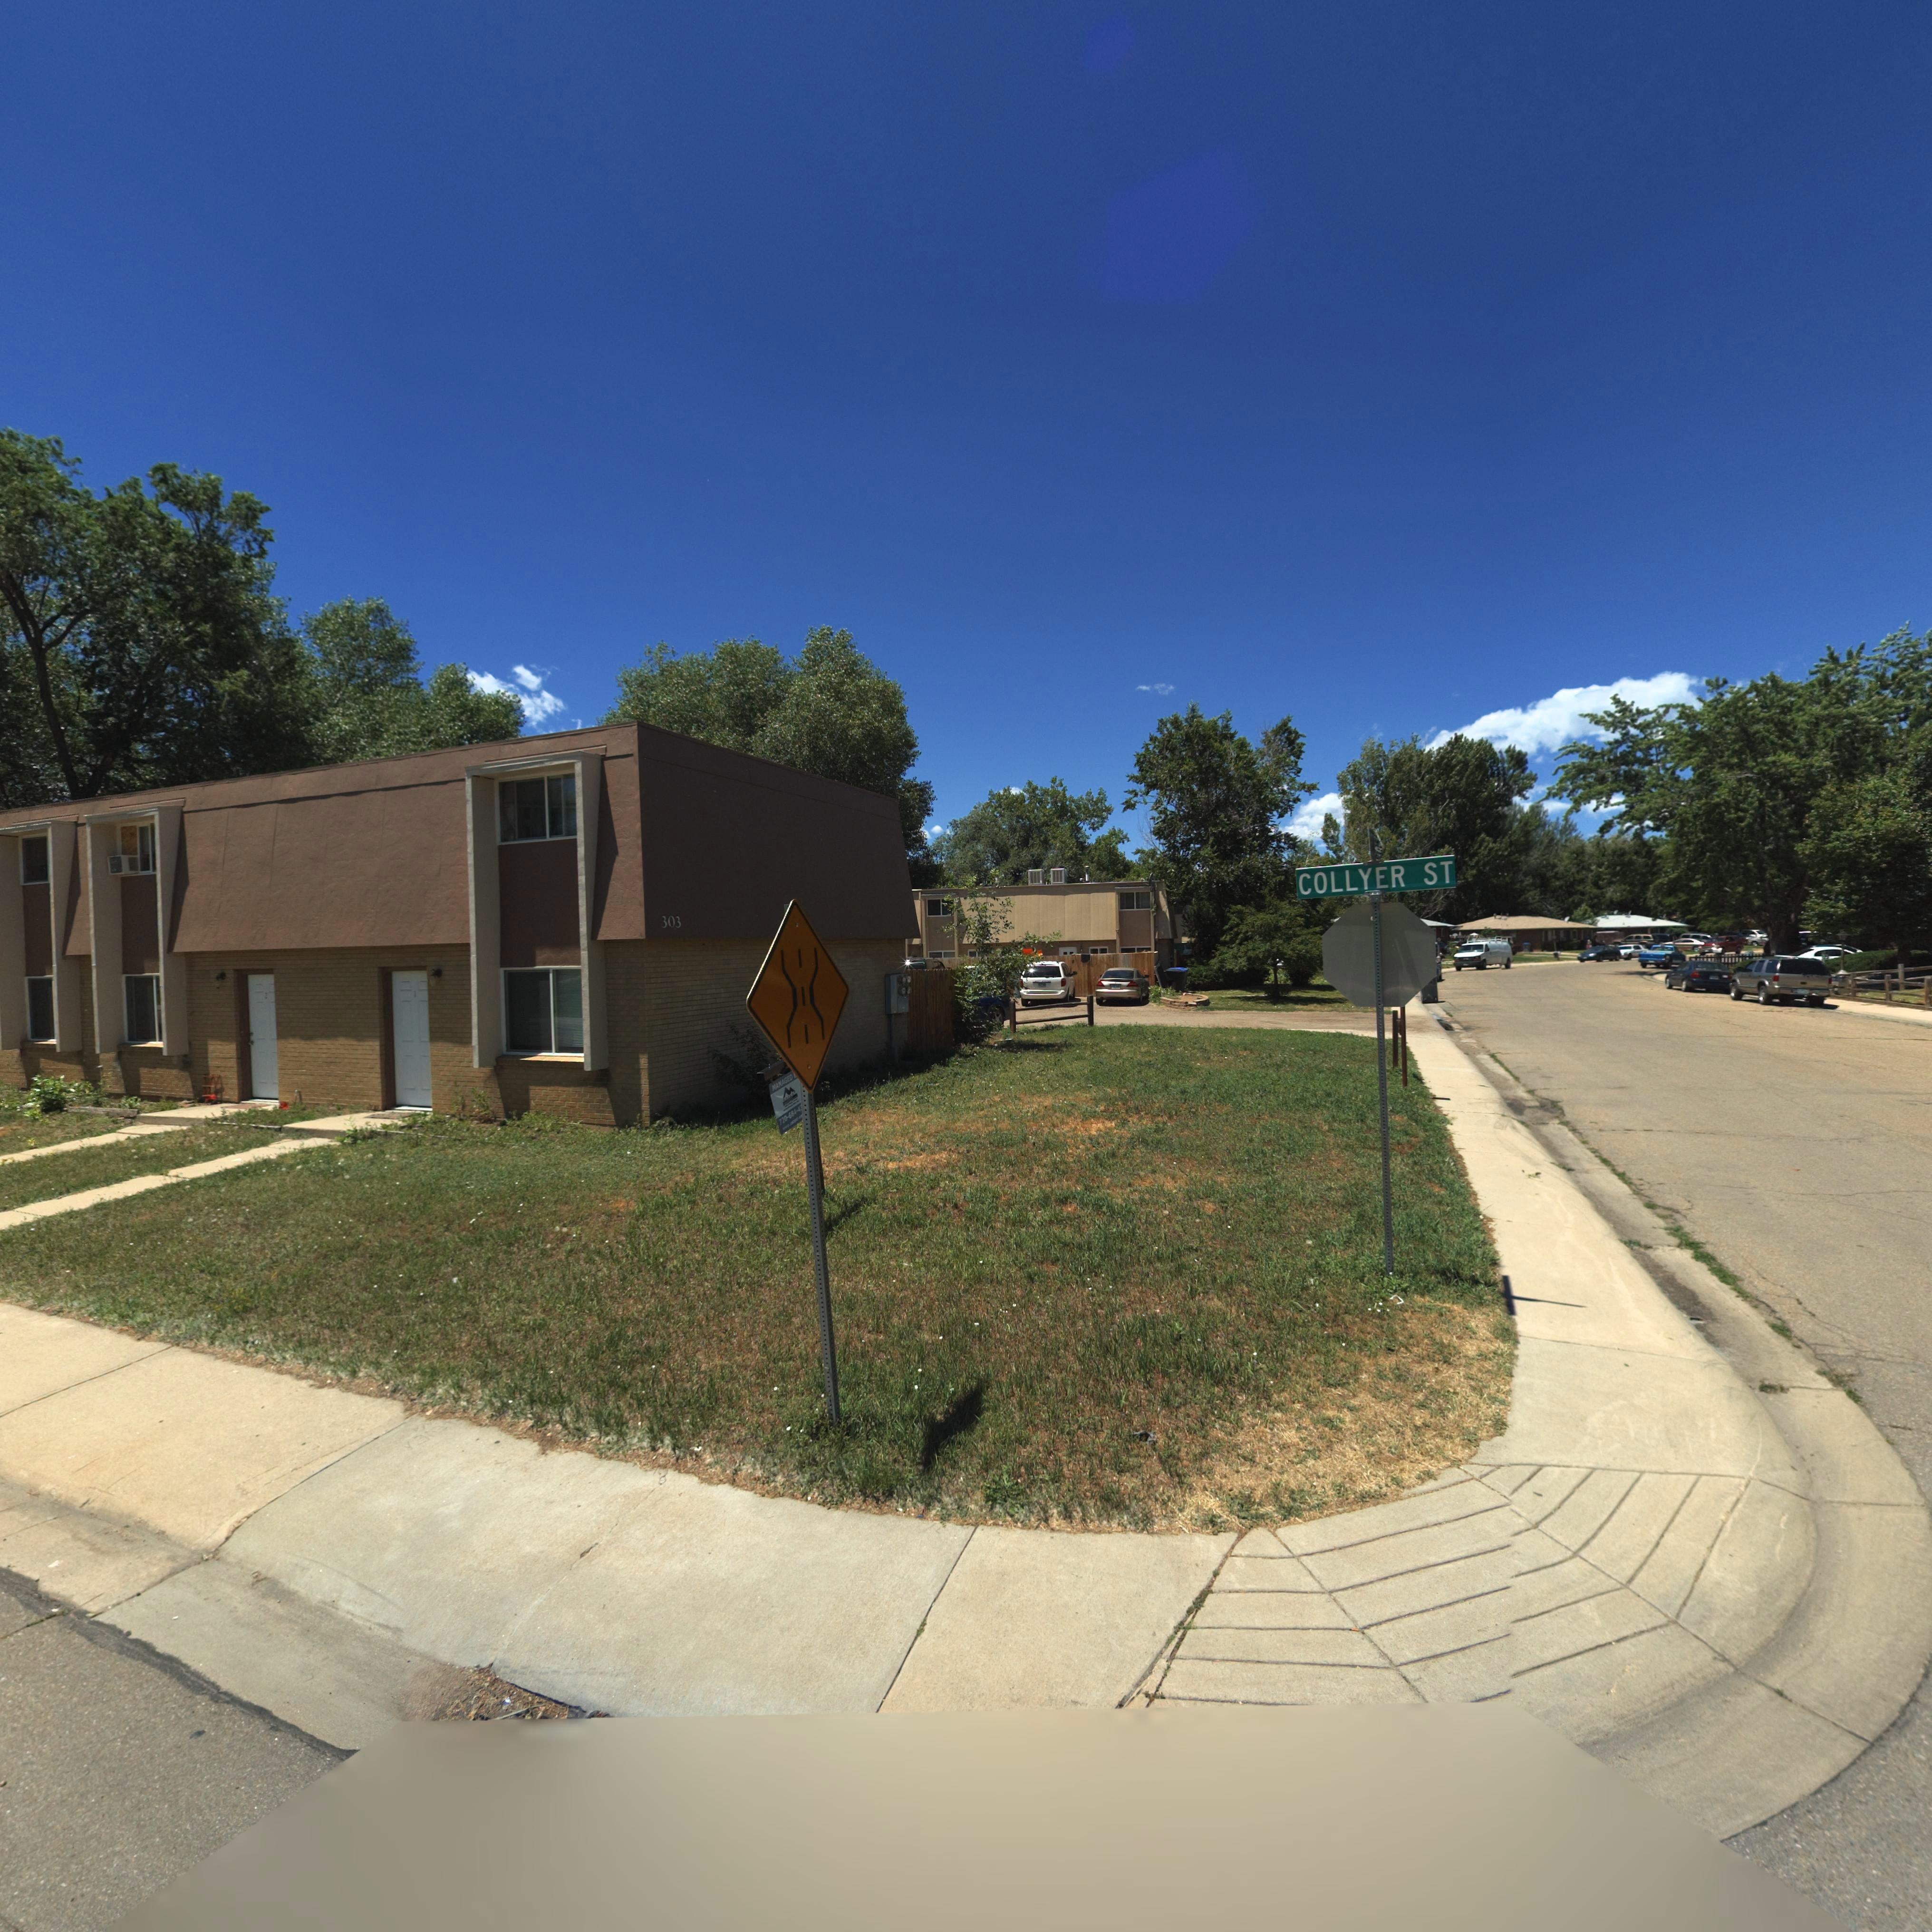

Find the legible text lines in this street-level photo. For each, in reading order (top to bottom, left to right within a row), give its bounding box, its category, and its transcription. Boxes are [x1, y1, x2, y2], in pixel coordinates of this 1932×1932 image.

[1298, 860, 1453, 895] StreetName: COLLYER ST
[660, 915, 682, 929] StreetNumber: 303